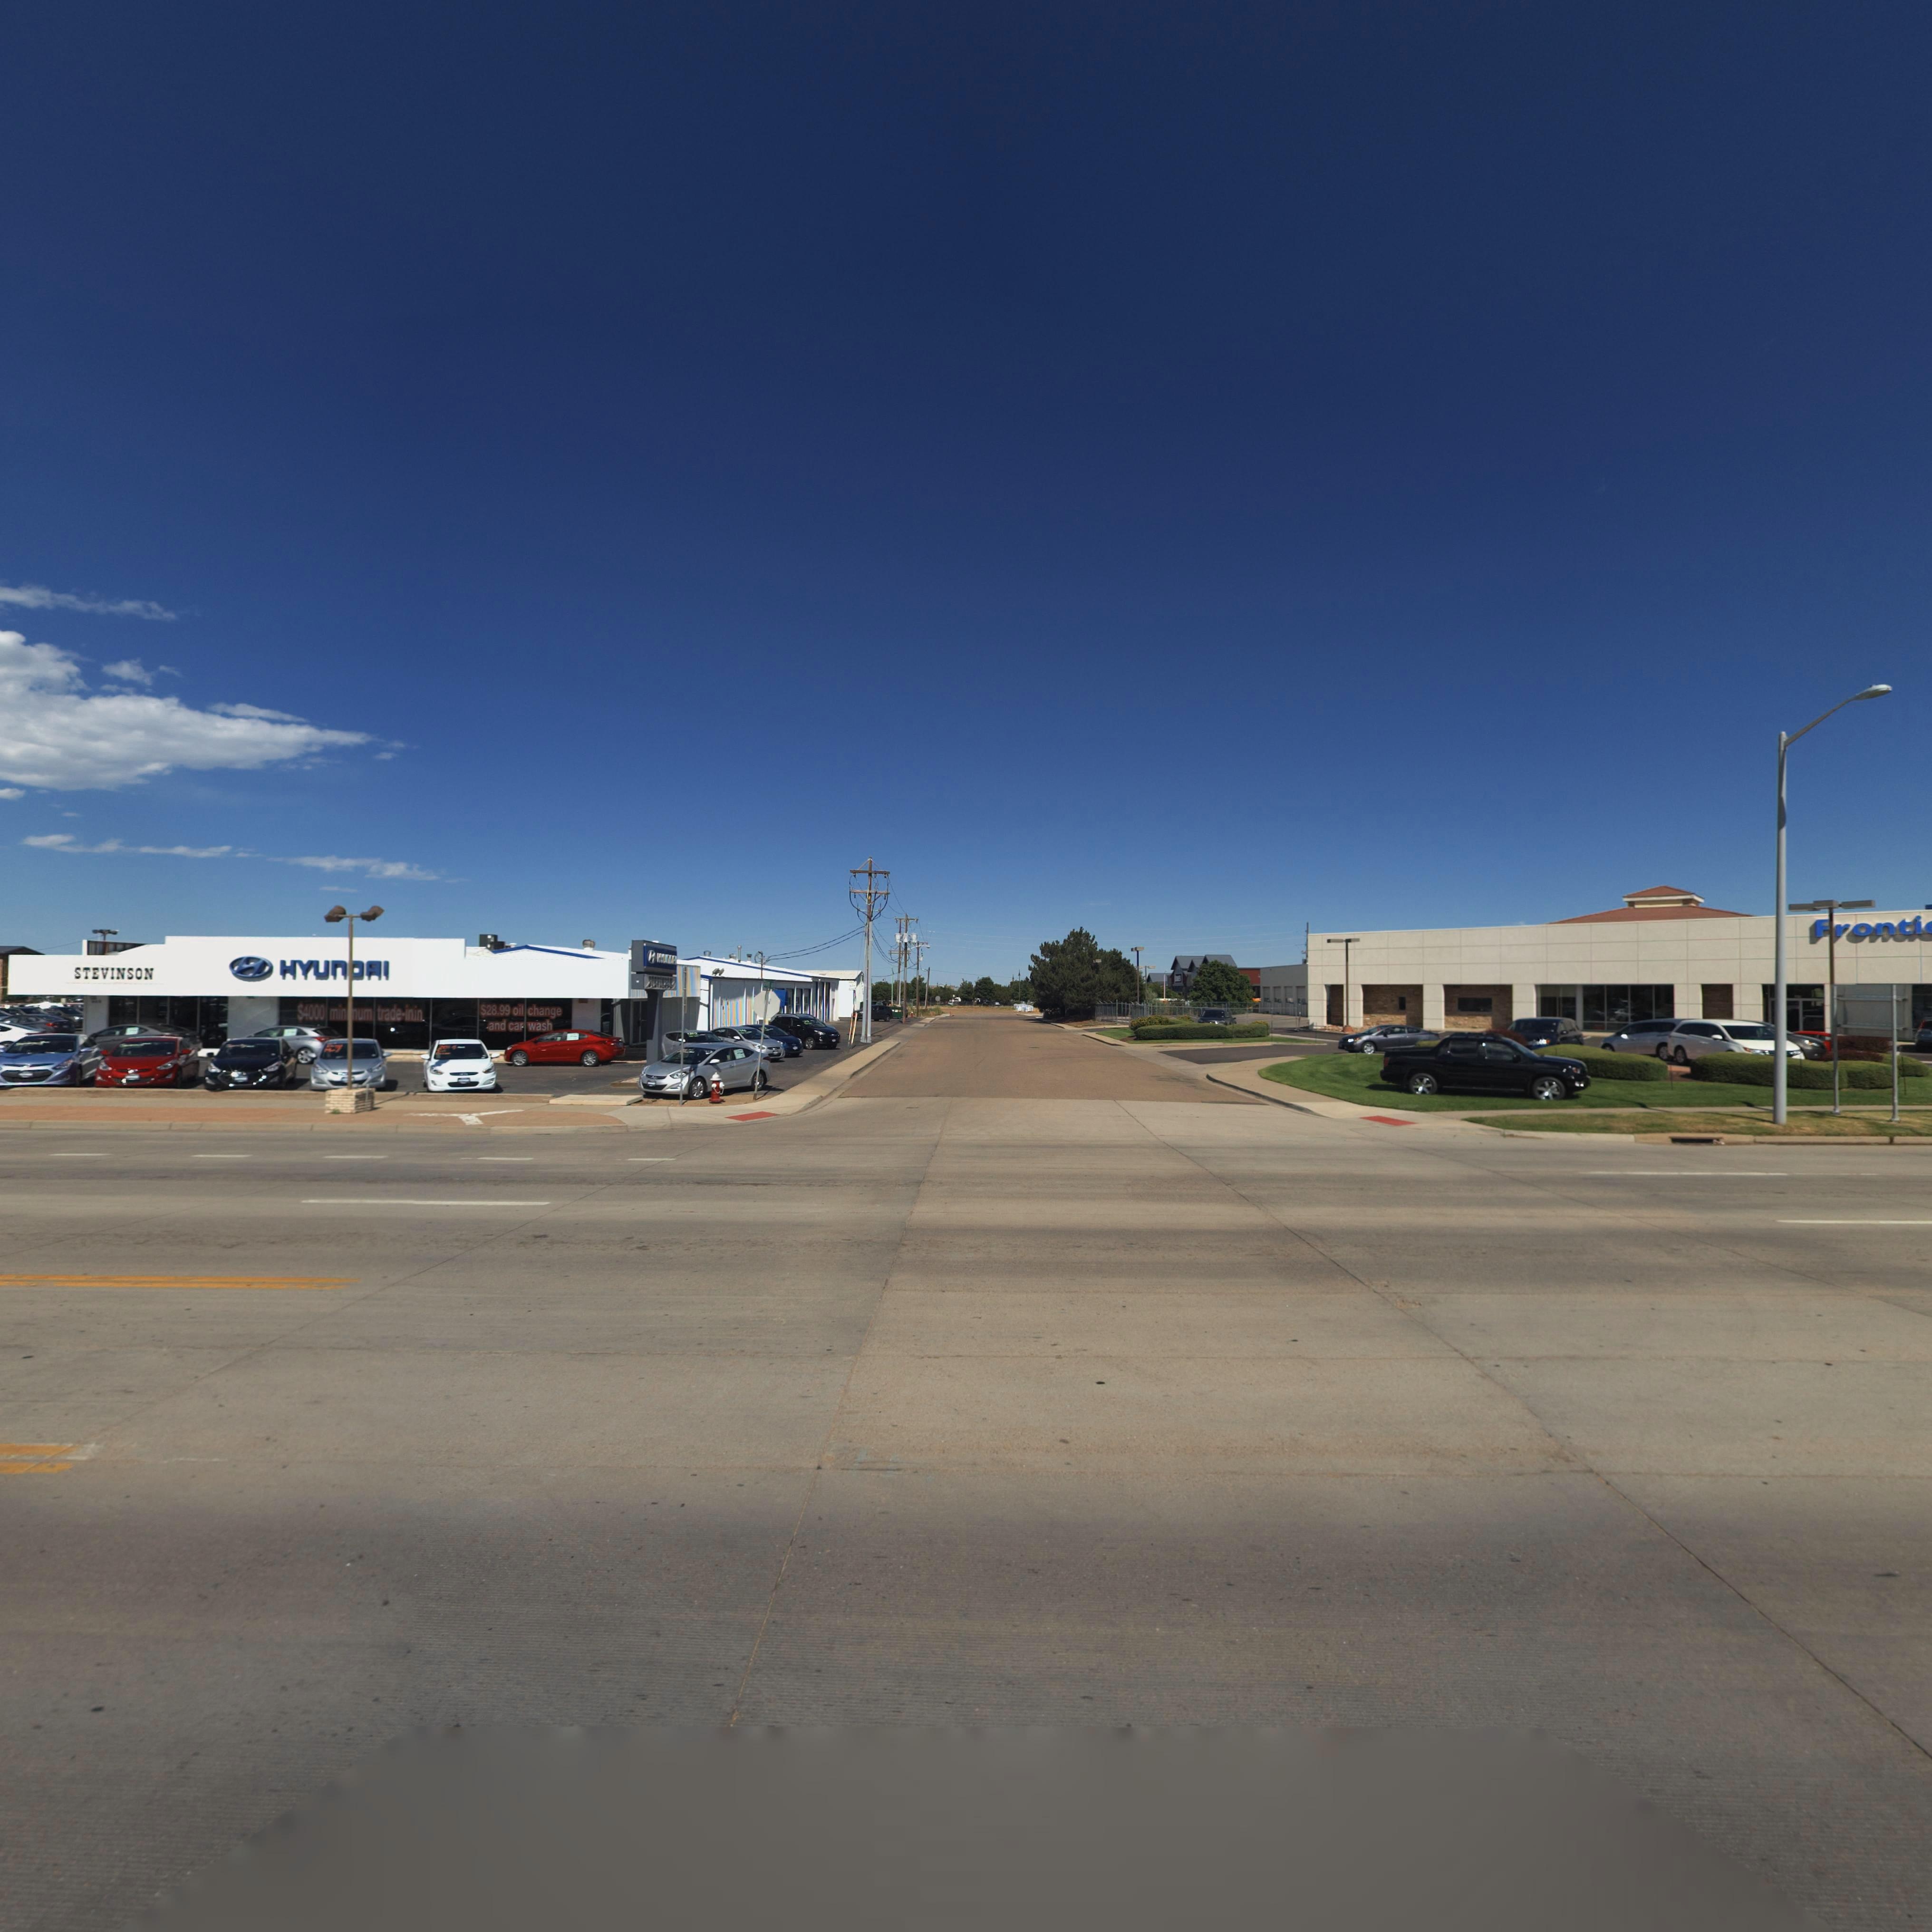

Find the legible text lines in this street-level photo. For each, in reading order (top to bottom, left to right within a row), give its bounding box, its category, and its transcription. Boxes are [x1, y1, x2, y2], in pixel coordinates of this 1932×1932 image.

[657, 952, 677, 965] BusinessName: H**nDAI
[73, 966, 154, 980] BusinessName: STEVINSON
[279, 959, 390, 977] BusinessName: HYUnDAI
[648, 976, 673, 989] BusinessName: STE*I****
[763, 979, 774, 989] StreetName: G***D A*
[1174, 975, 1181, 982] BusinessName: LO*E*S